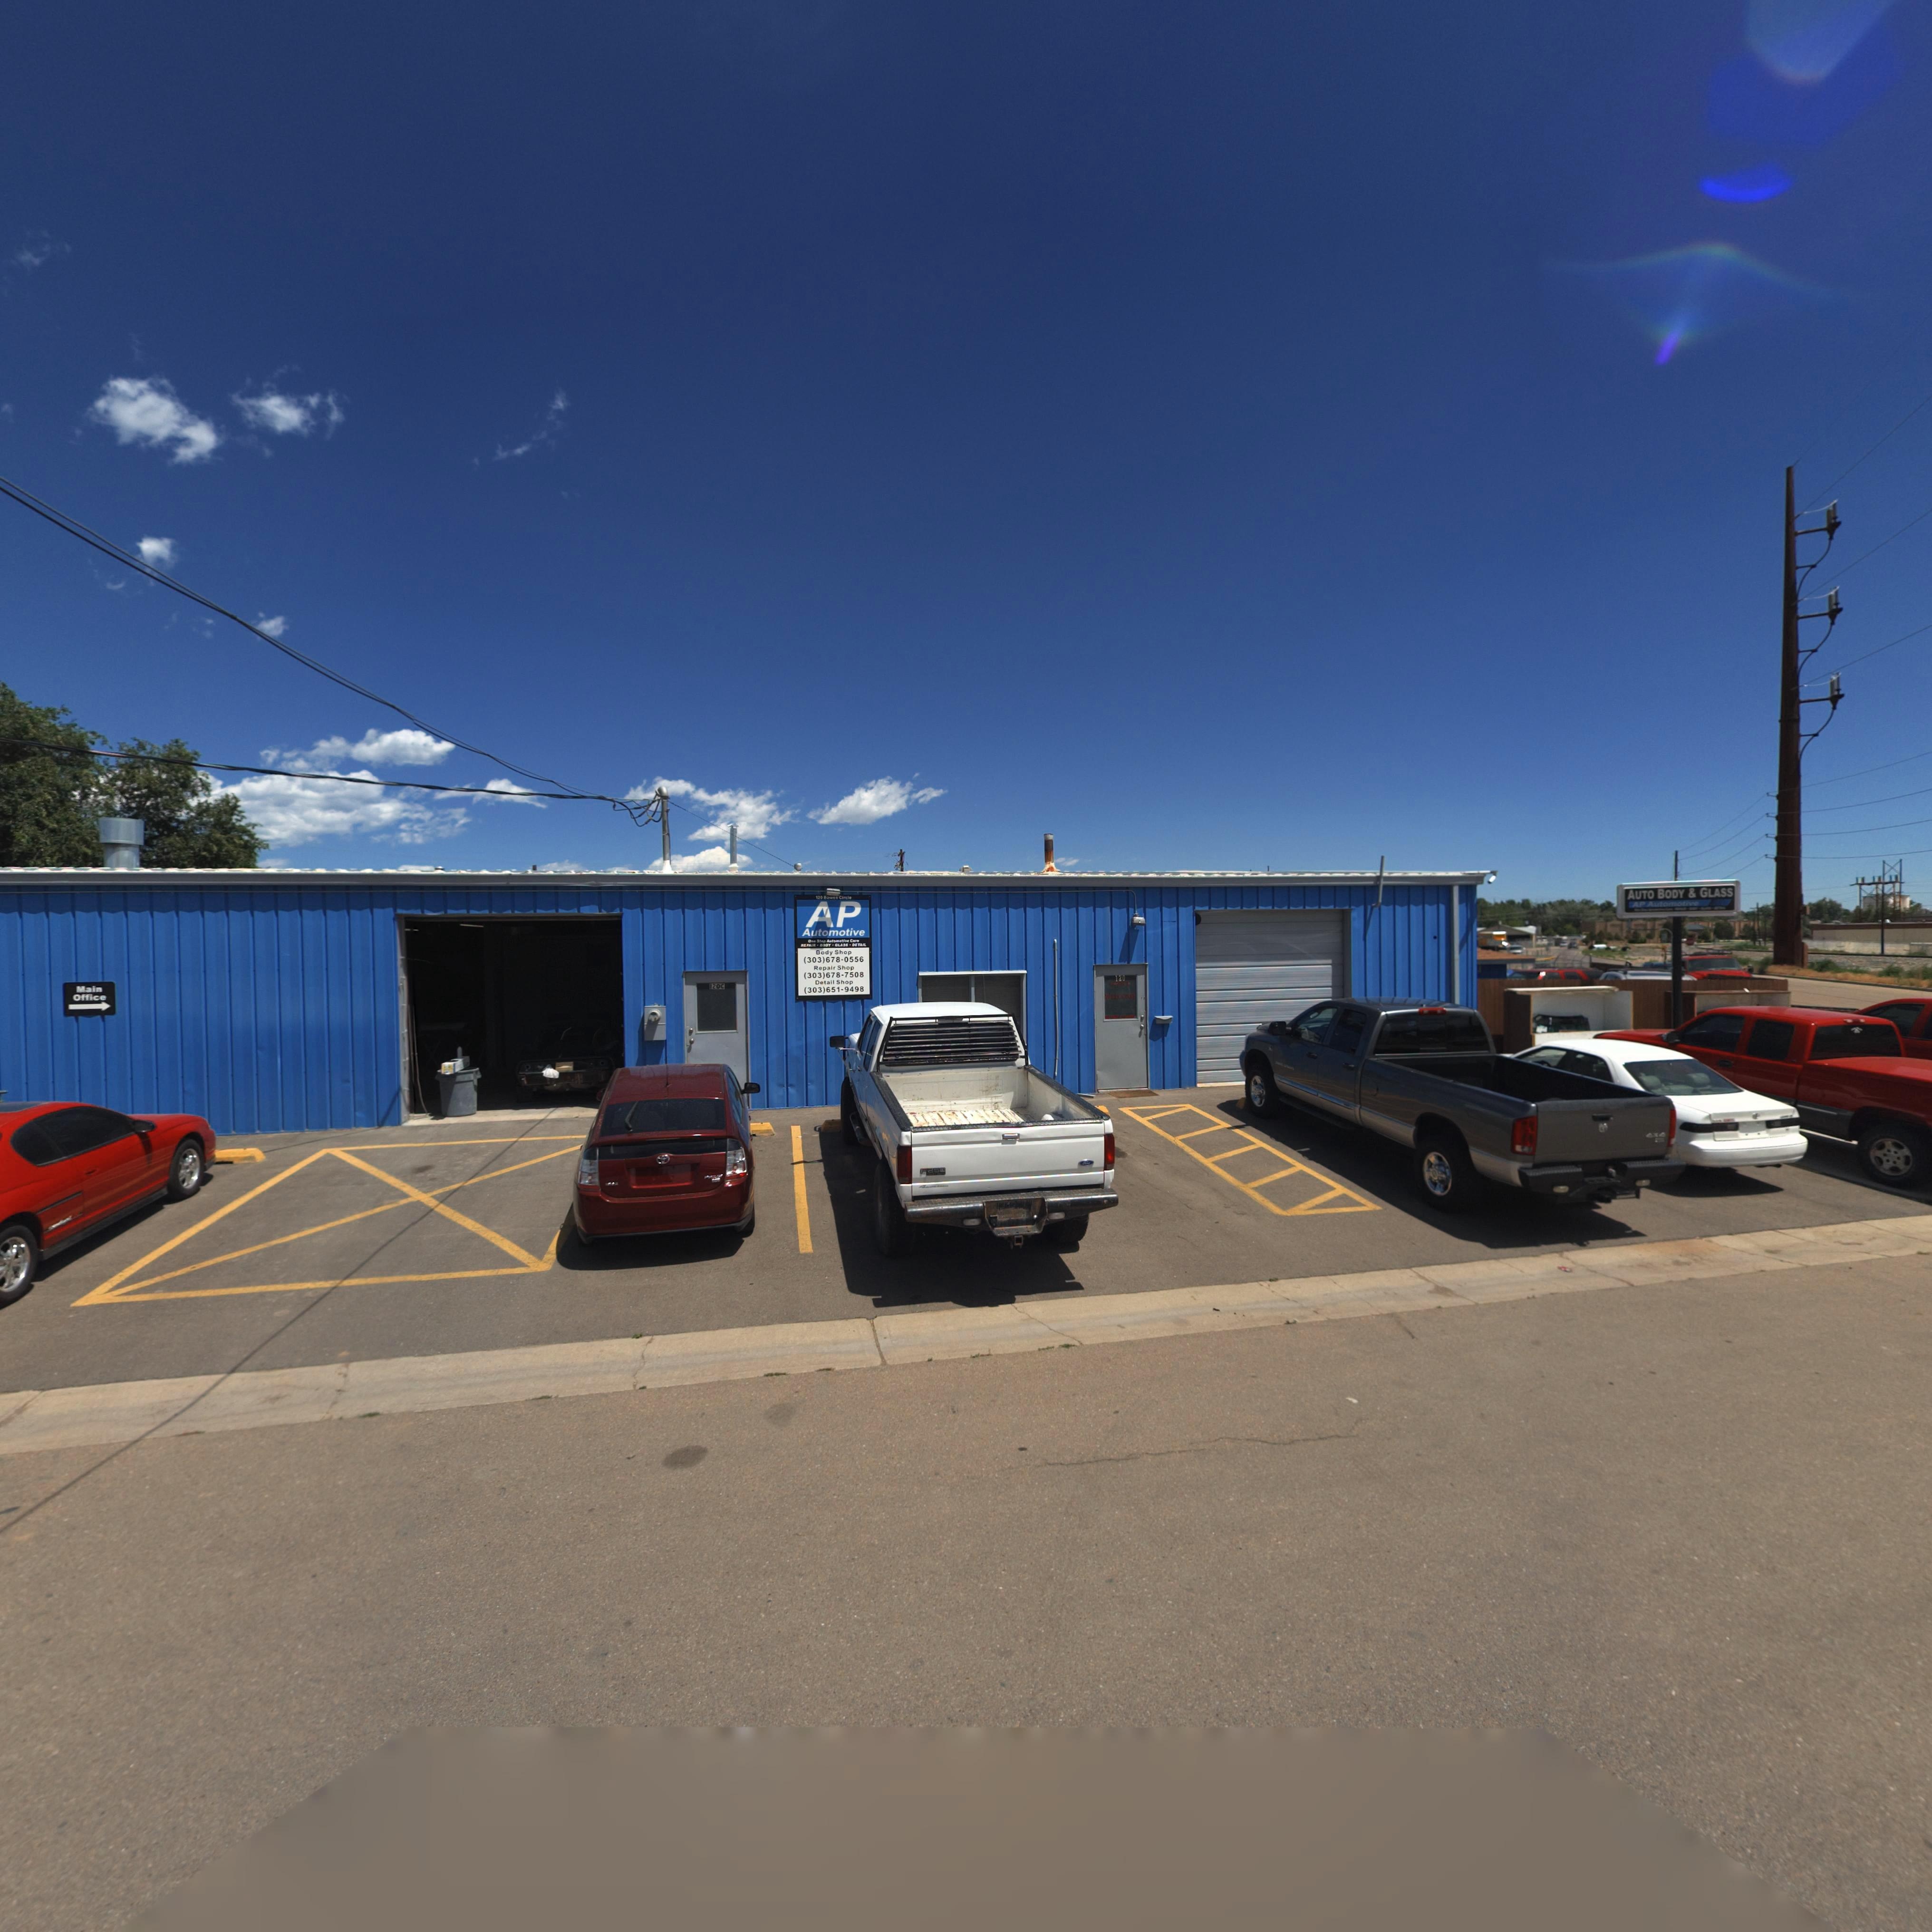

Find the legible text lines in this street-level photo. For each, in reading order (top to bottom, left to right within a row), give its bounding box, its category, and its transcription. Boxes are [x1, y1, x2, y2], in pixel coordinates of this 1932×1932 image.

[1627, 887, 1733, 900] BusinessName: AUTO BODY & GLASS
[815, 895, 823, 899] StreetNumber: 120
[823, 895, 852, 899] StreetName: Bowen Circle
[1631, 900, 1699, 908] BusinessName: AP Automotive
[1115, 975, 1125, 982] StreetNumber: 120
[710, 984, 724, 989] StreetNumber: 1200